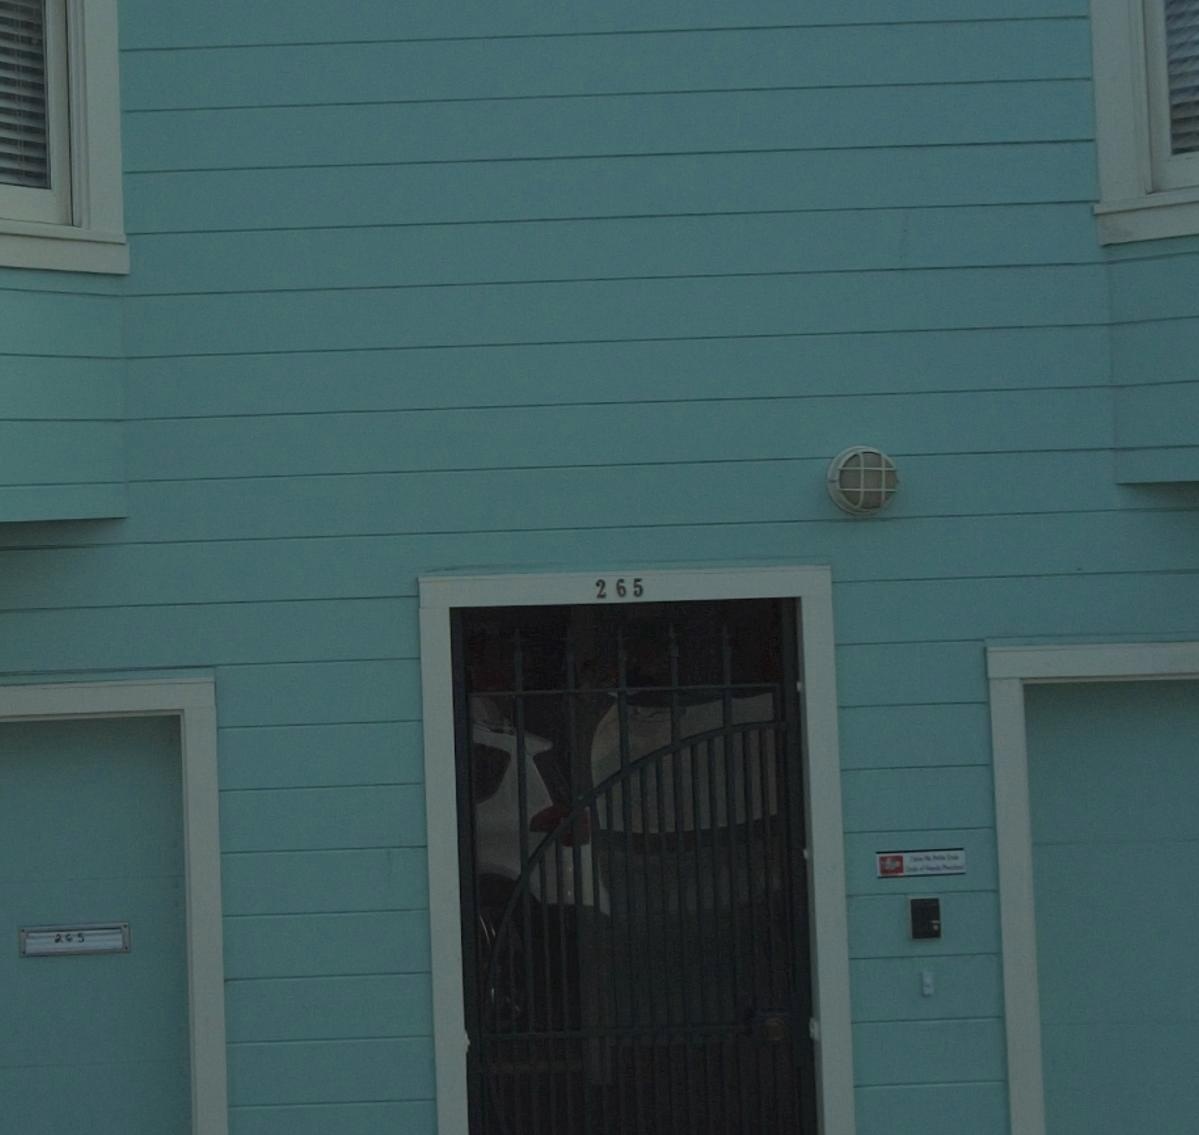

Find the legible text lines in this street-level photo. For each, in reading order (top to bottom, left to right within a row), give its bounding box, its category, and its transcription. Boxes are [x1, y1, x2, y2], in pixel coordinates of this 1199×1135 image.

[593, 575, 647, 604] StreetNumber: 265
[51, 929, 88, 946] StreetNumber: 265